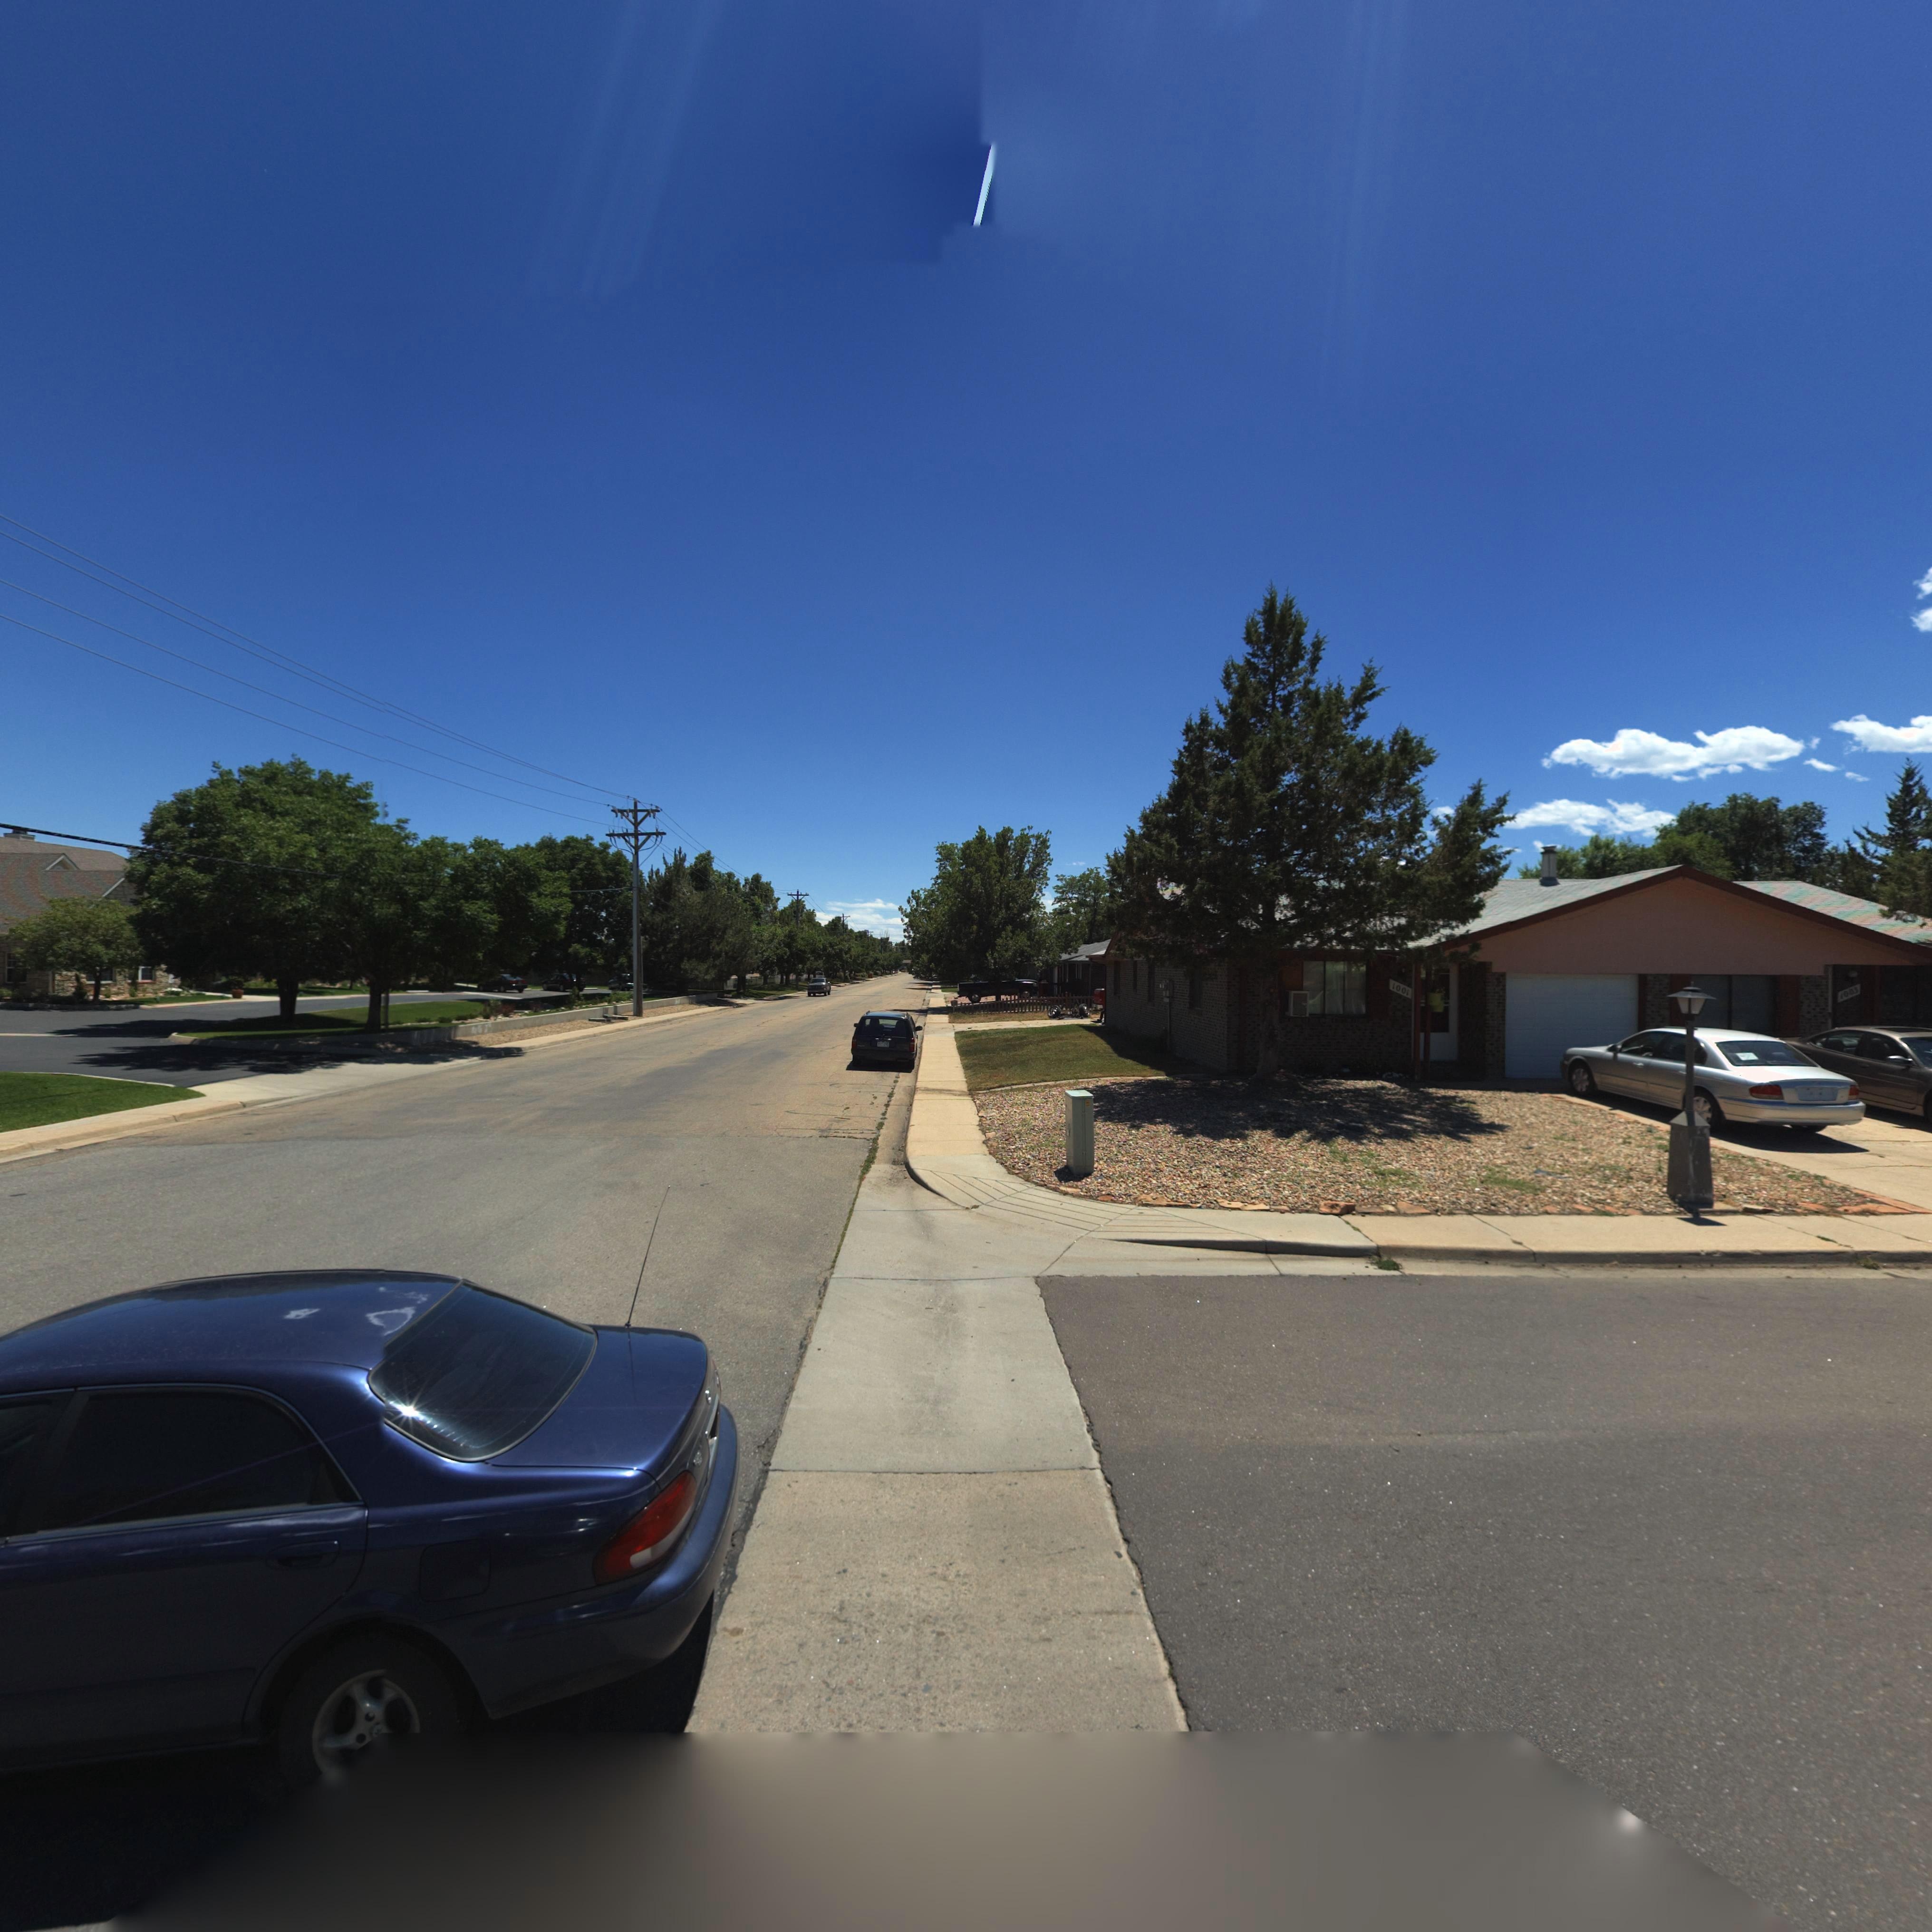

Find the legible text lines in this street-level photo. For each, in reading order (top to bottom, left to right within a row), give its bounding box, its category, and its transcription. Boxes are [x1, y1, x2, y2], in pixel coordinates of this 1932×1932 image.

[1391, 982, 1409, 996] StreetNumber: 1001
[1839, 986, 1859, 999] StreetNumber: 1003